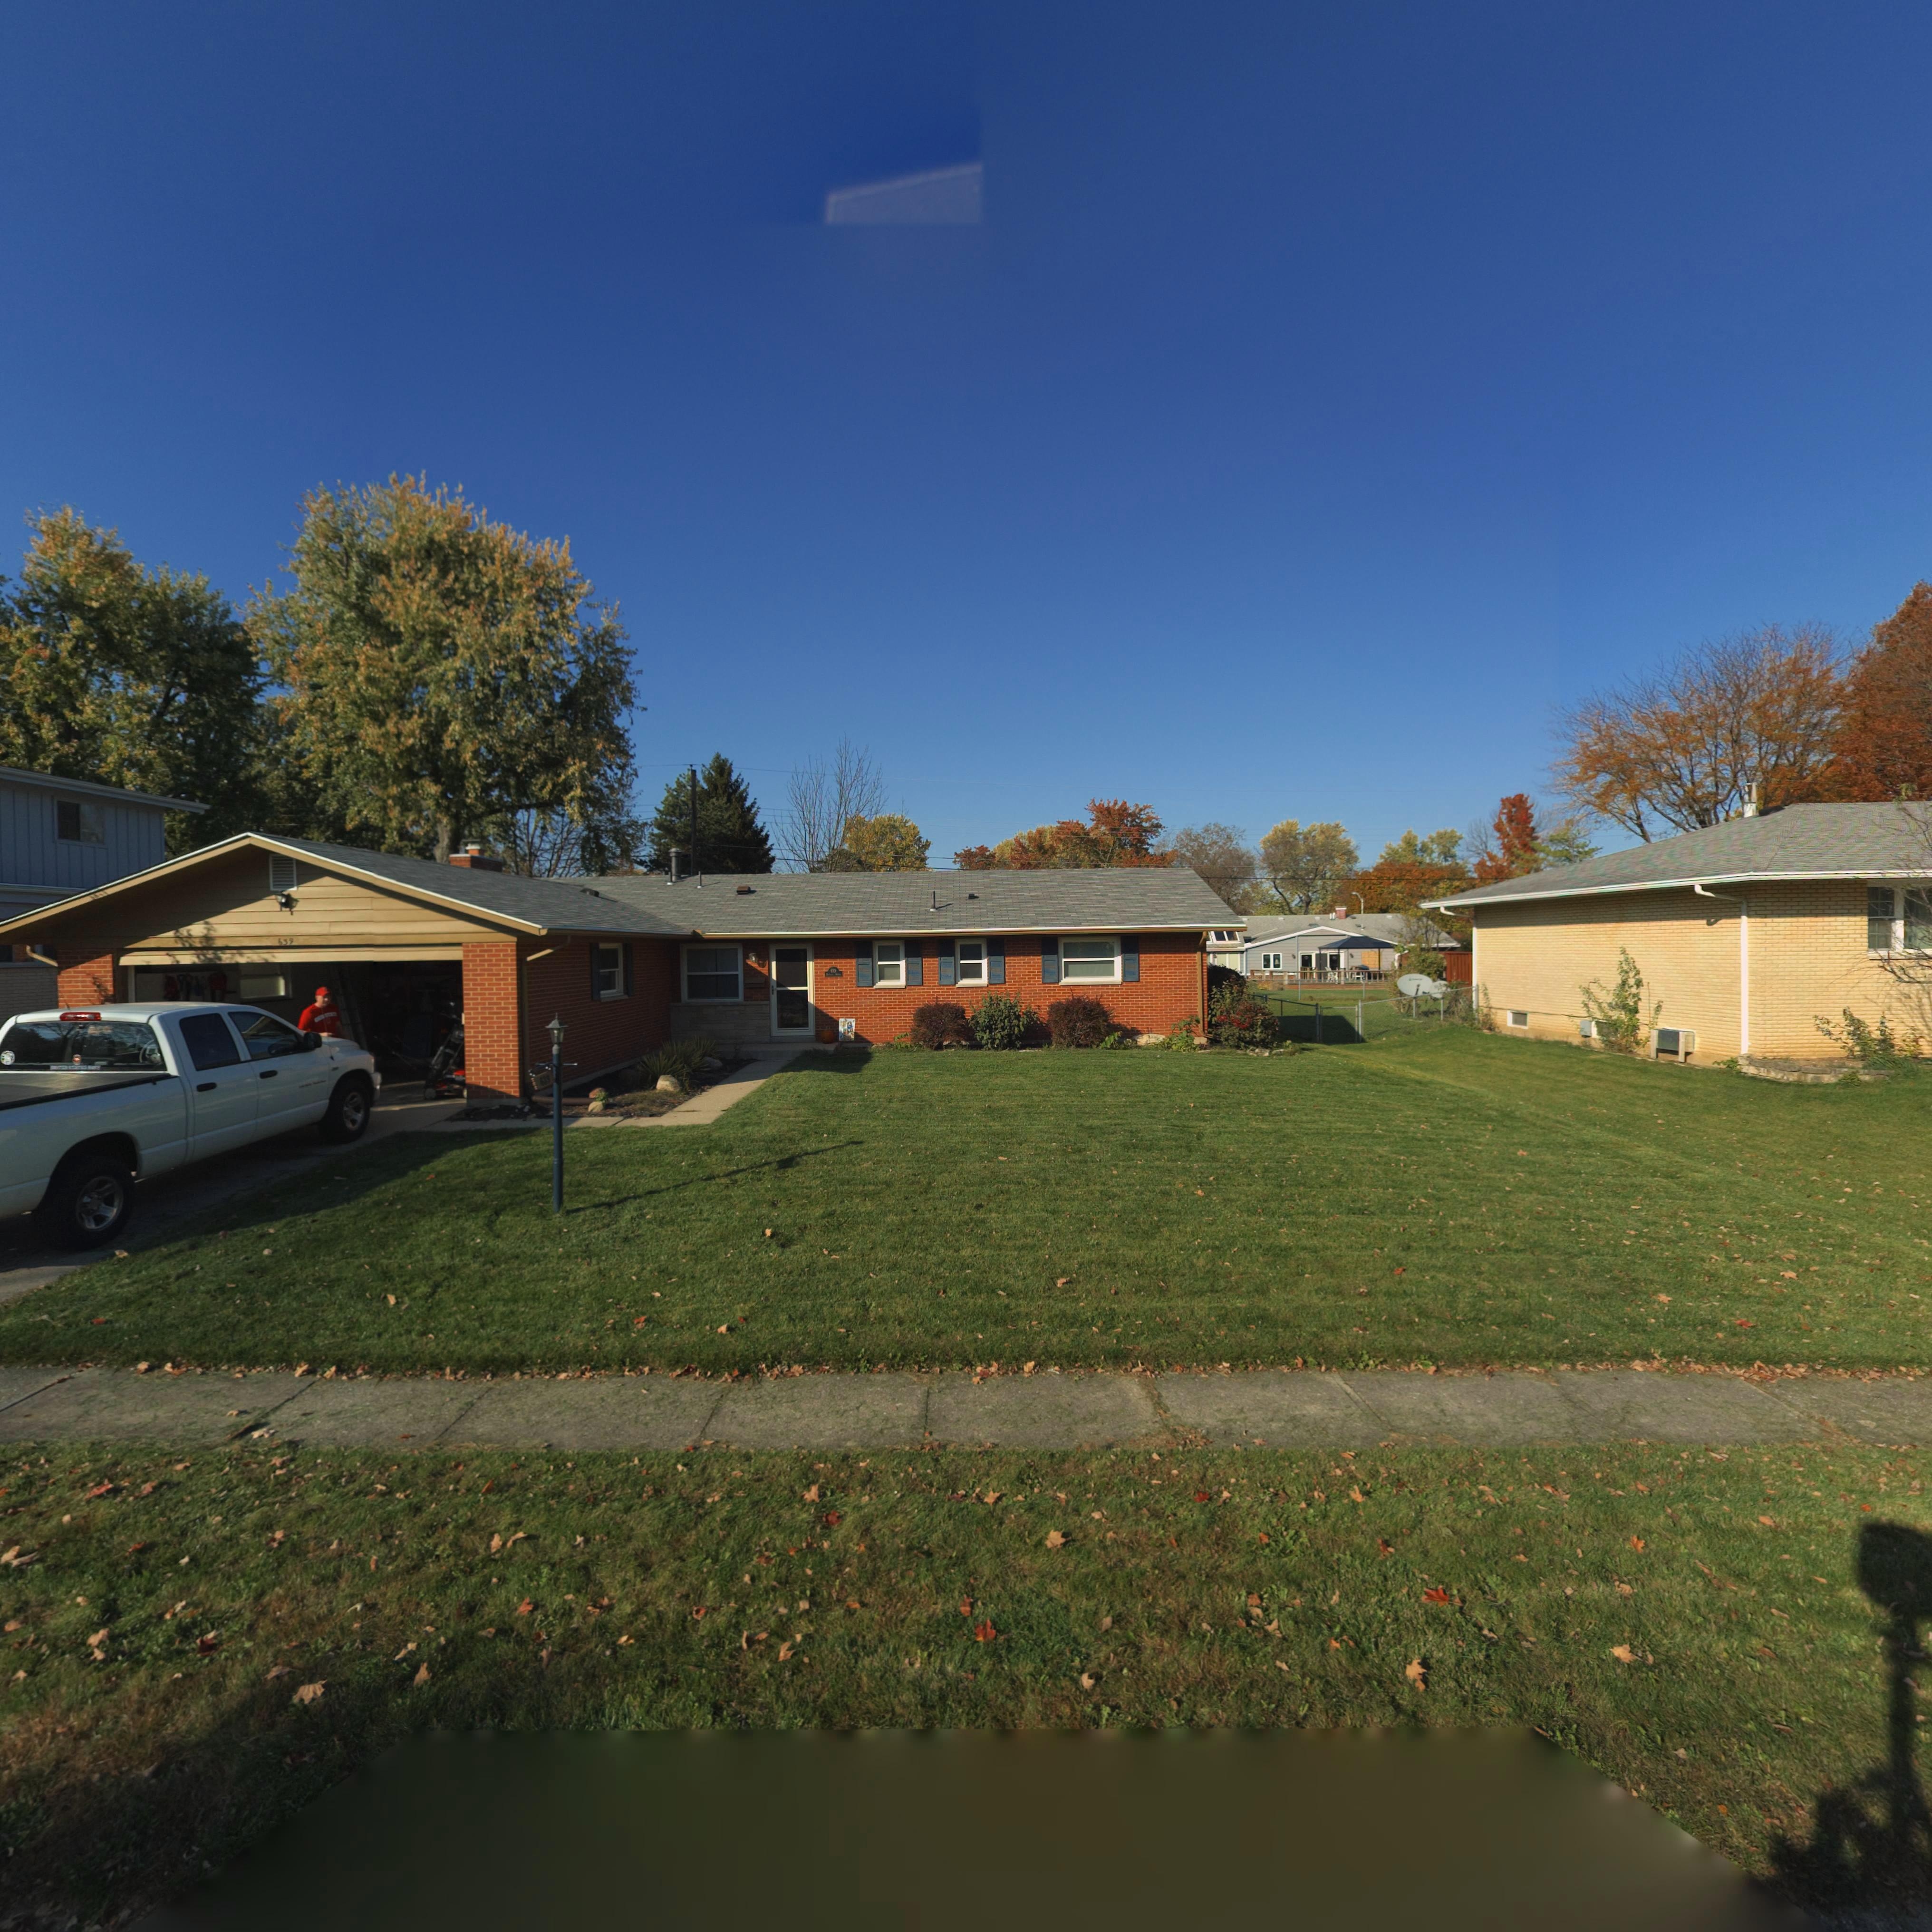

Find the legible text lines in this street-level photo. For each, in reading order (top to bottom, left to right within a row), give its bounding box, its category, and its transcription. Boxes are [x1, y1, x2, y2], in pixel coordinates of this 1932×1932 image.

[277, 937, 294, 946] StreetNumber: 639
[830, 969, 837, 973] StreetNumber: 6*9
[539, 1073, 551, 1087] StreetNumber: 639